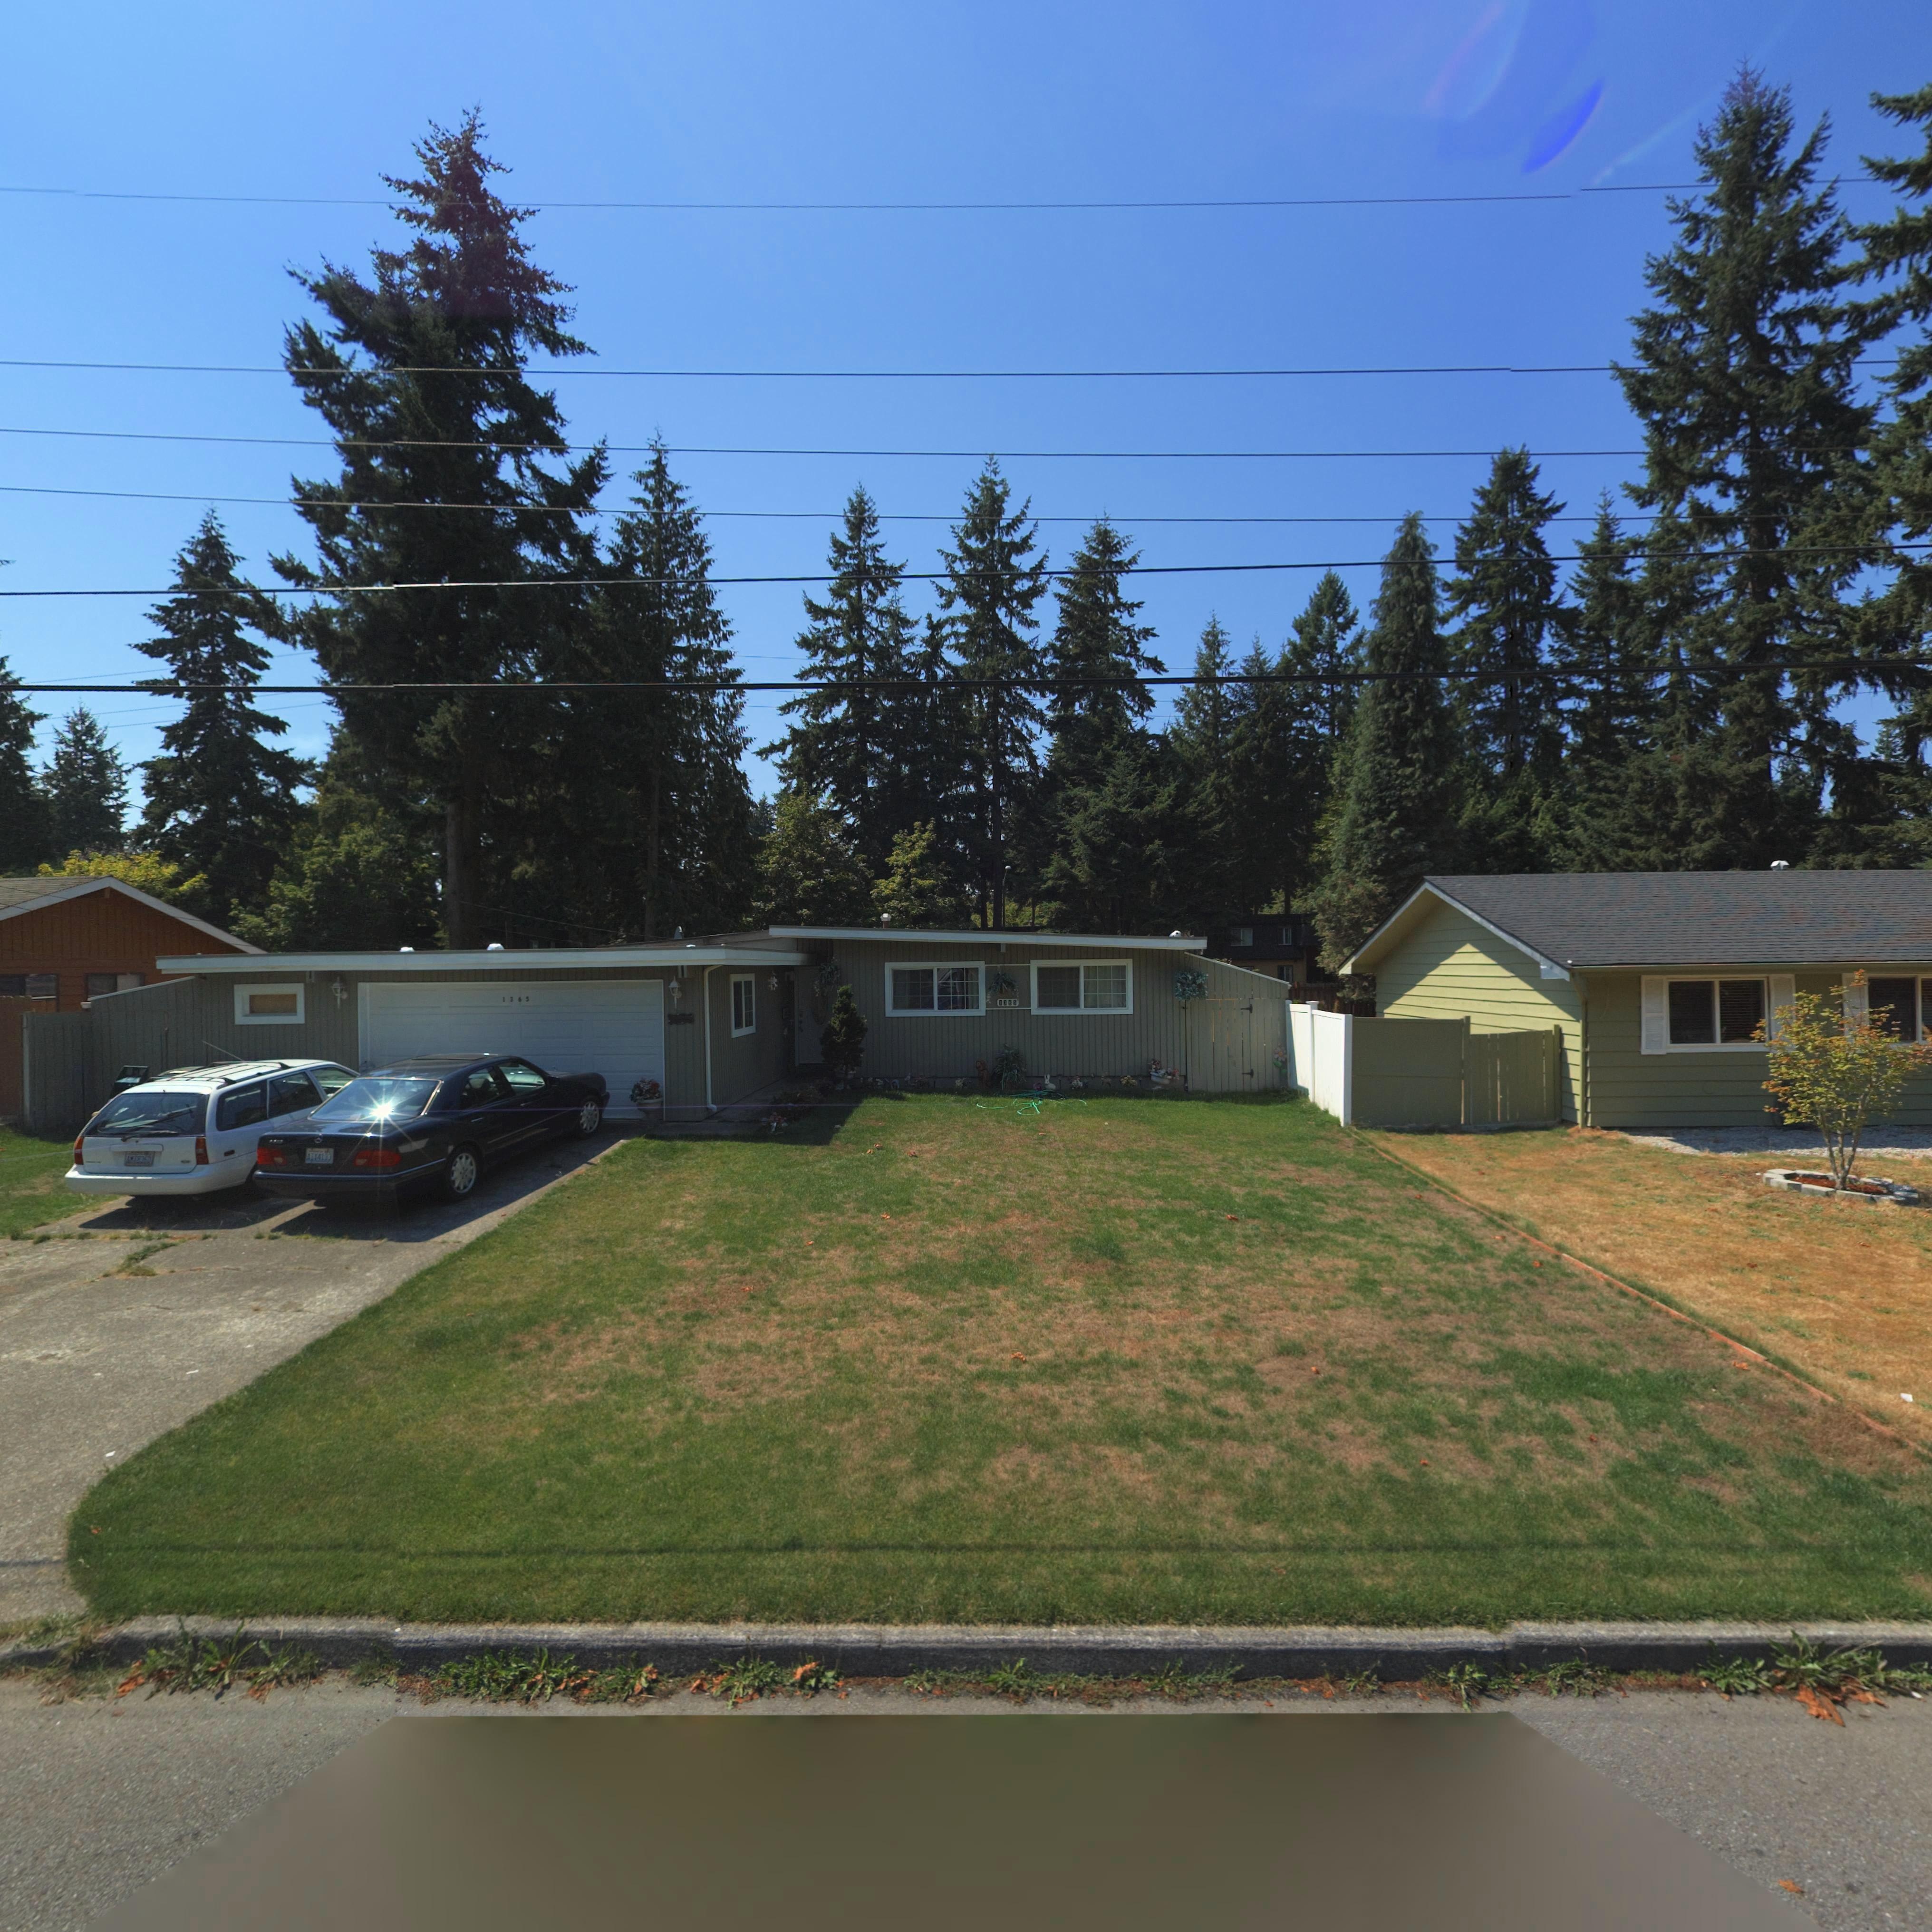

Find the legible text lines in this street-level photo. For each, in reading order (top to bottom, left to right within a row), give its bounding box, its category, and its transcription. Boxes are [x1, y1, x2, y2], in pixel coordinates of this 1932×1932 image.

[502, 996, 529, 1001] StreetNumber: 1365